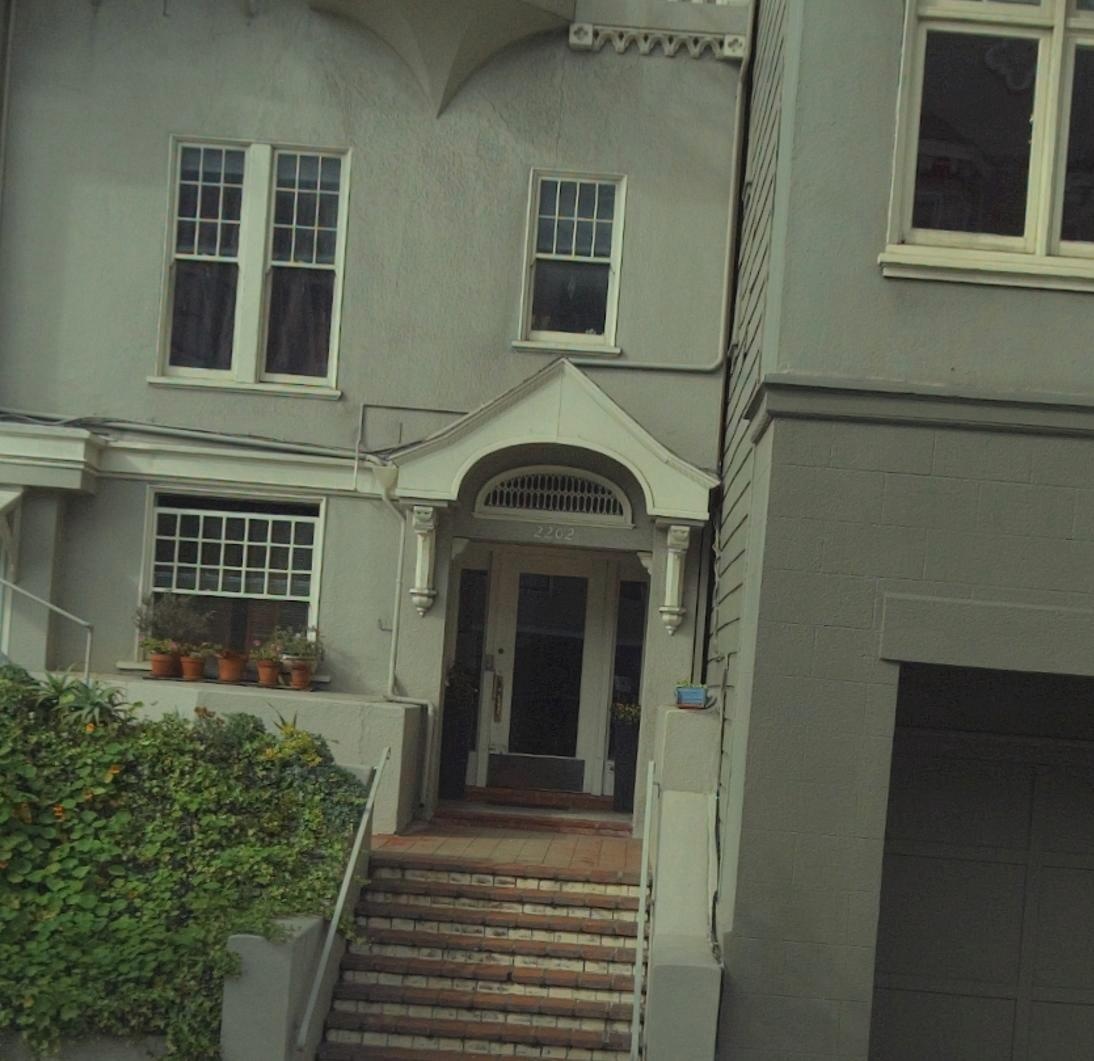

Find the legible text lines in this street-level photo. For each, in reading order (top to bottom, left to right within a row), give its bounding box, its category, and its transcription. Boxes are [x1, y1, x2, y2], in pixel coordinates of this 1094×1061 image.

[530, 523, 578, 543] StreetNumber: 2202